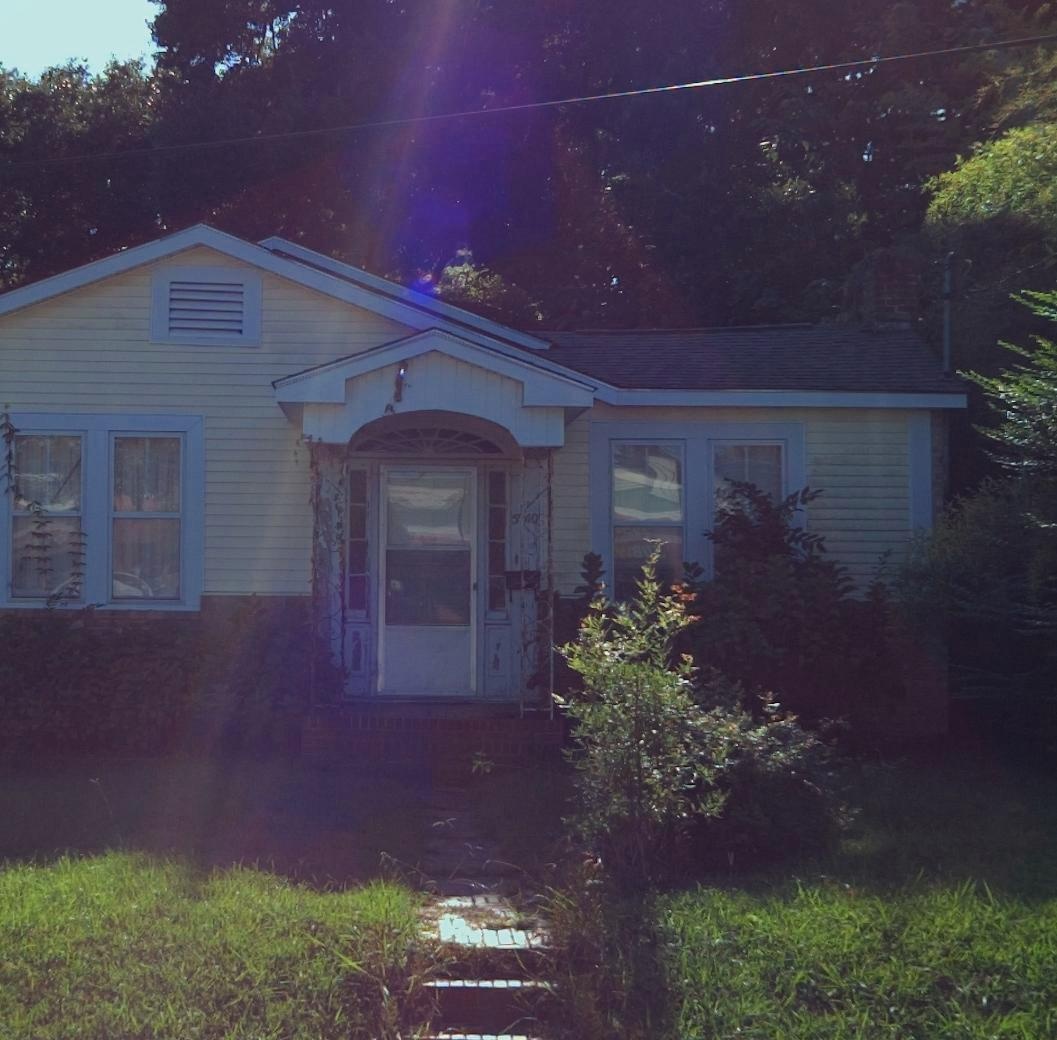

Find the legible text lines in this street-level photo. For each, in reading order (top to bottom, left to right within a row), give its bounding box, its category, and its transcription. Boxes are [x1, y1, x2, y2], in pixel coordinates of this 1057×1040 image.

[509, 511, 540, 526] StreetNumber: 5*40